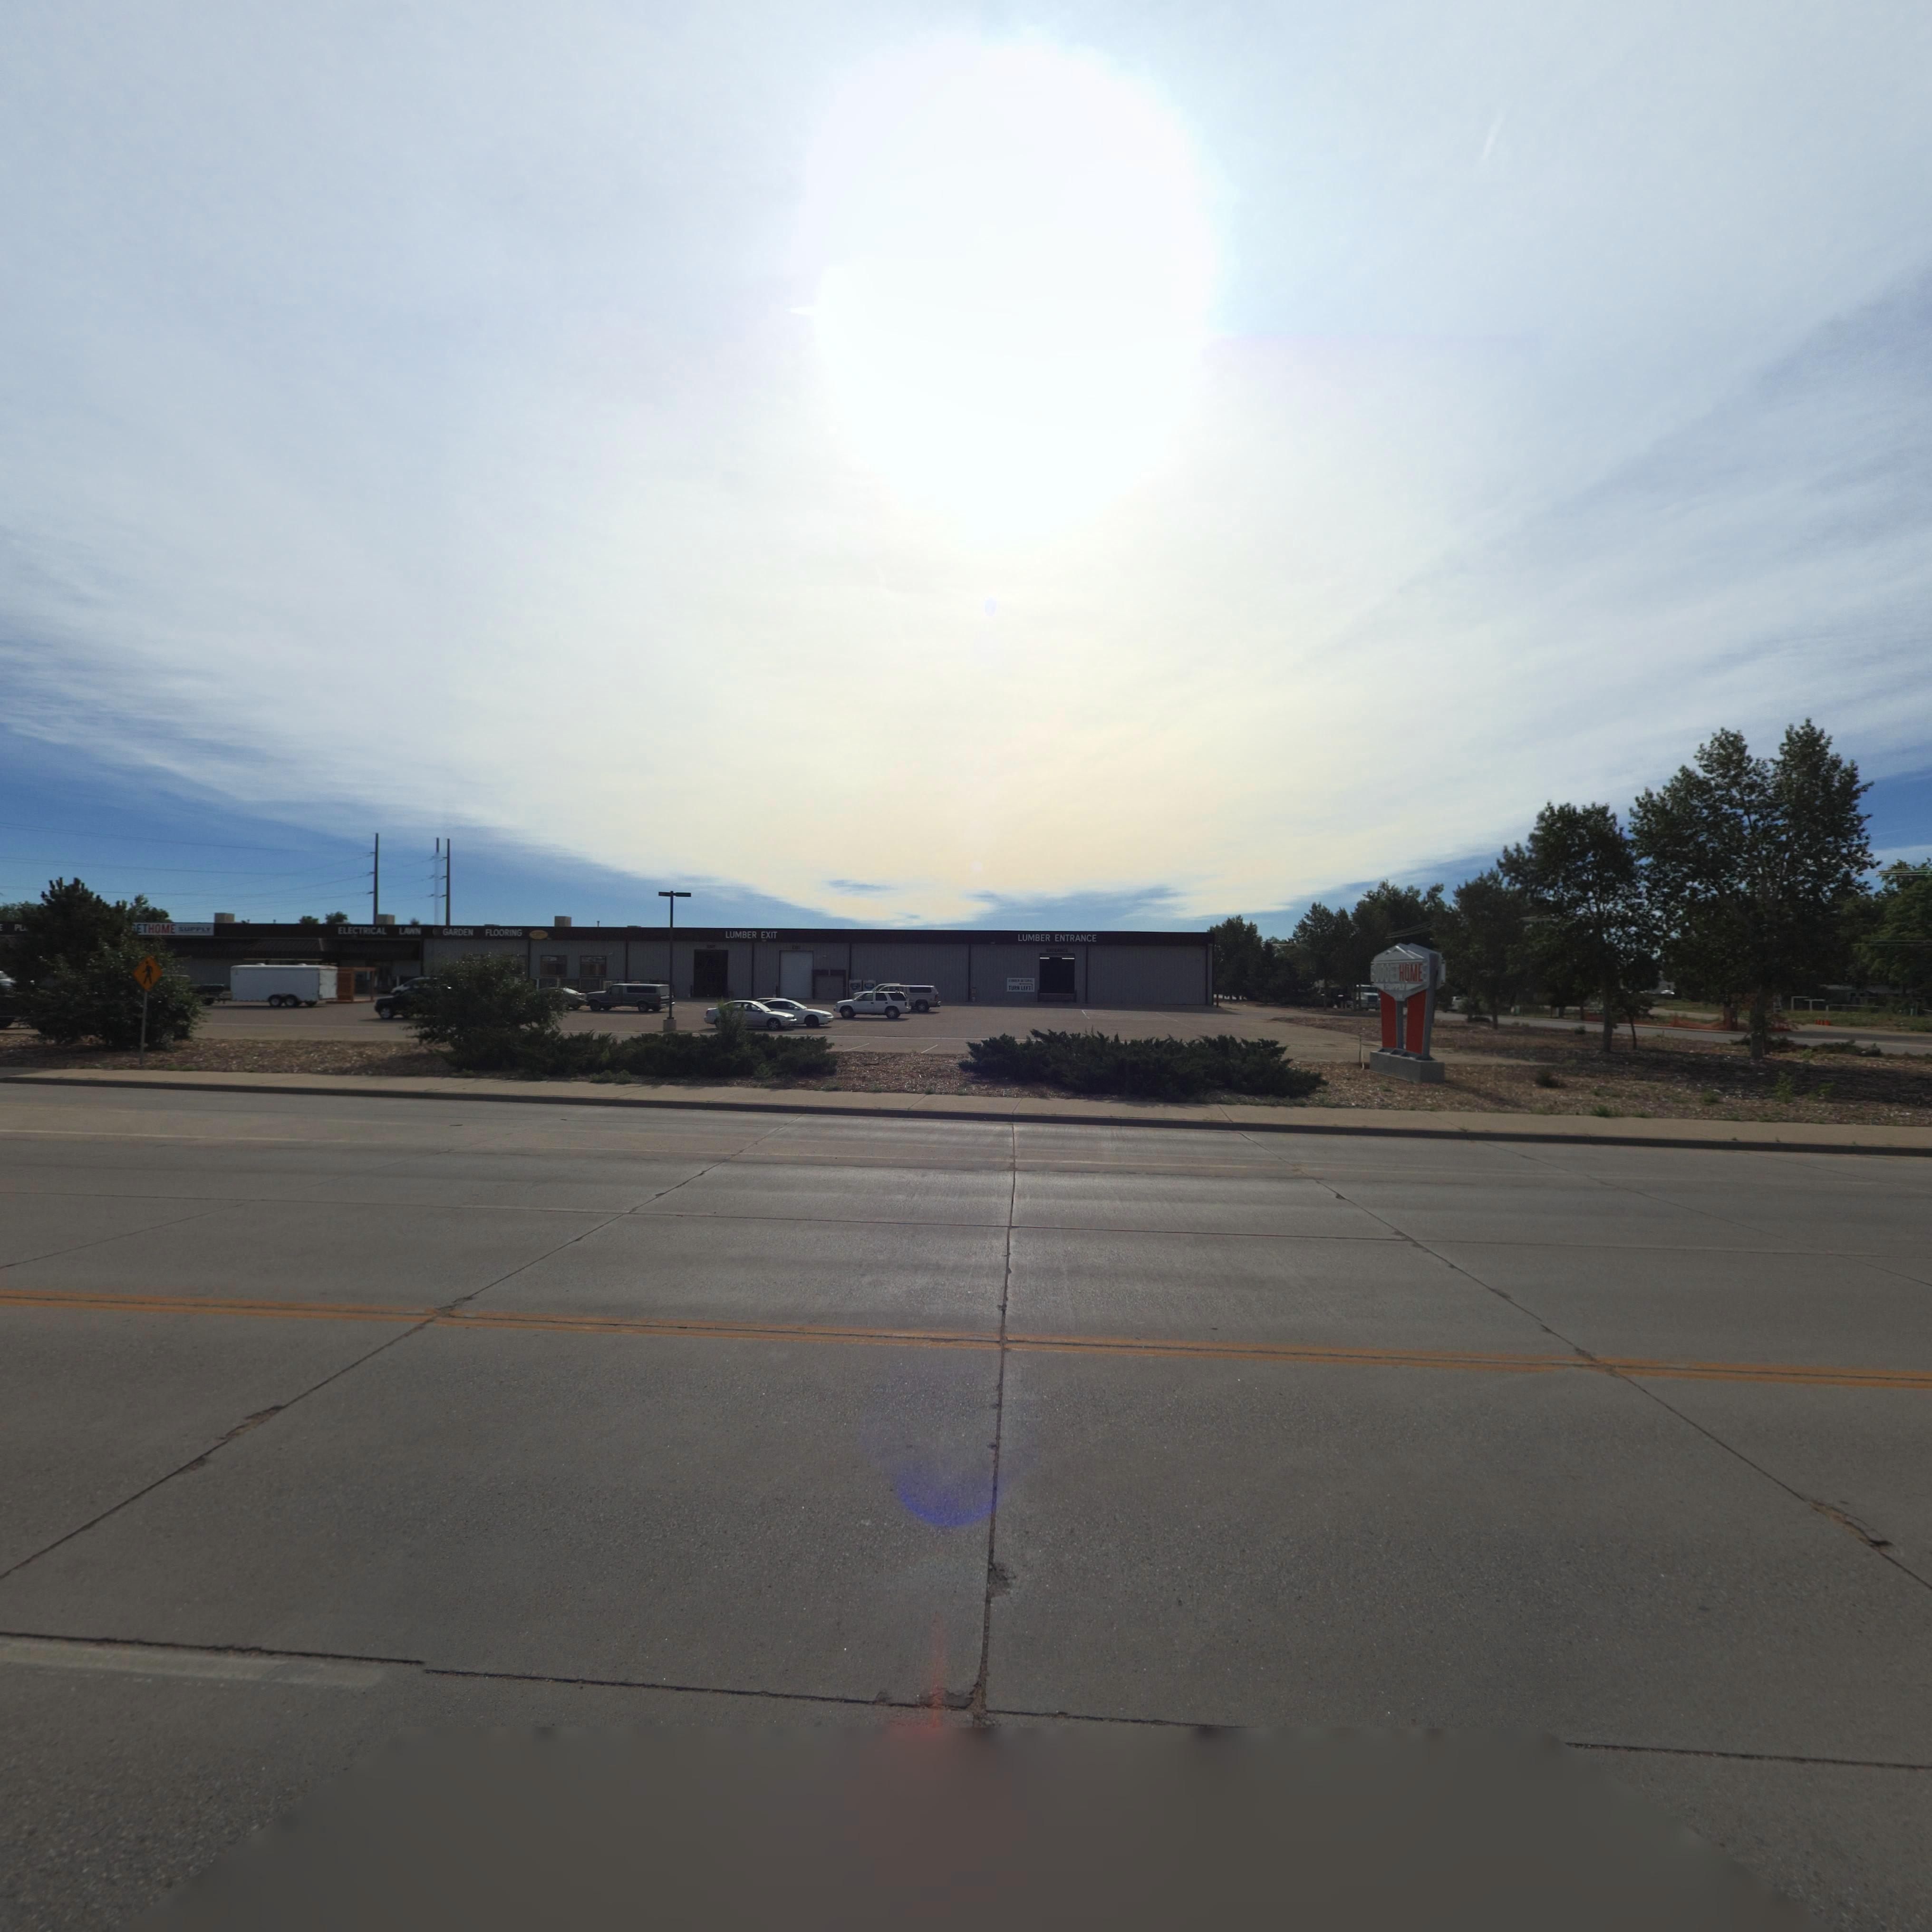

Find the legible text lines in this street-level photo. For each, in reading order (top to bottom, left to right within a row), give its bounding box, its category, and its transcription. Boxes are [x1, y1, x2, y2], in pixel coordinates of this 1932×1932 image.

[128, 923, 176, 934] BusinessName: *ETHOME
[178, 926, 212, 932] BusinessName: SUPPLY
[1370, 962, 1425, 983] BusinessName: BUDGETHOME
[1384, 983, 1406, 991] BusinessName: SUPPLY